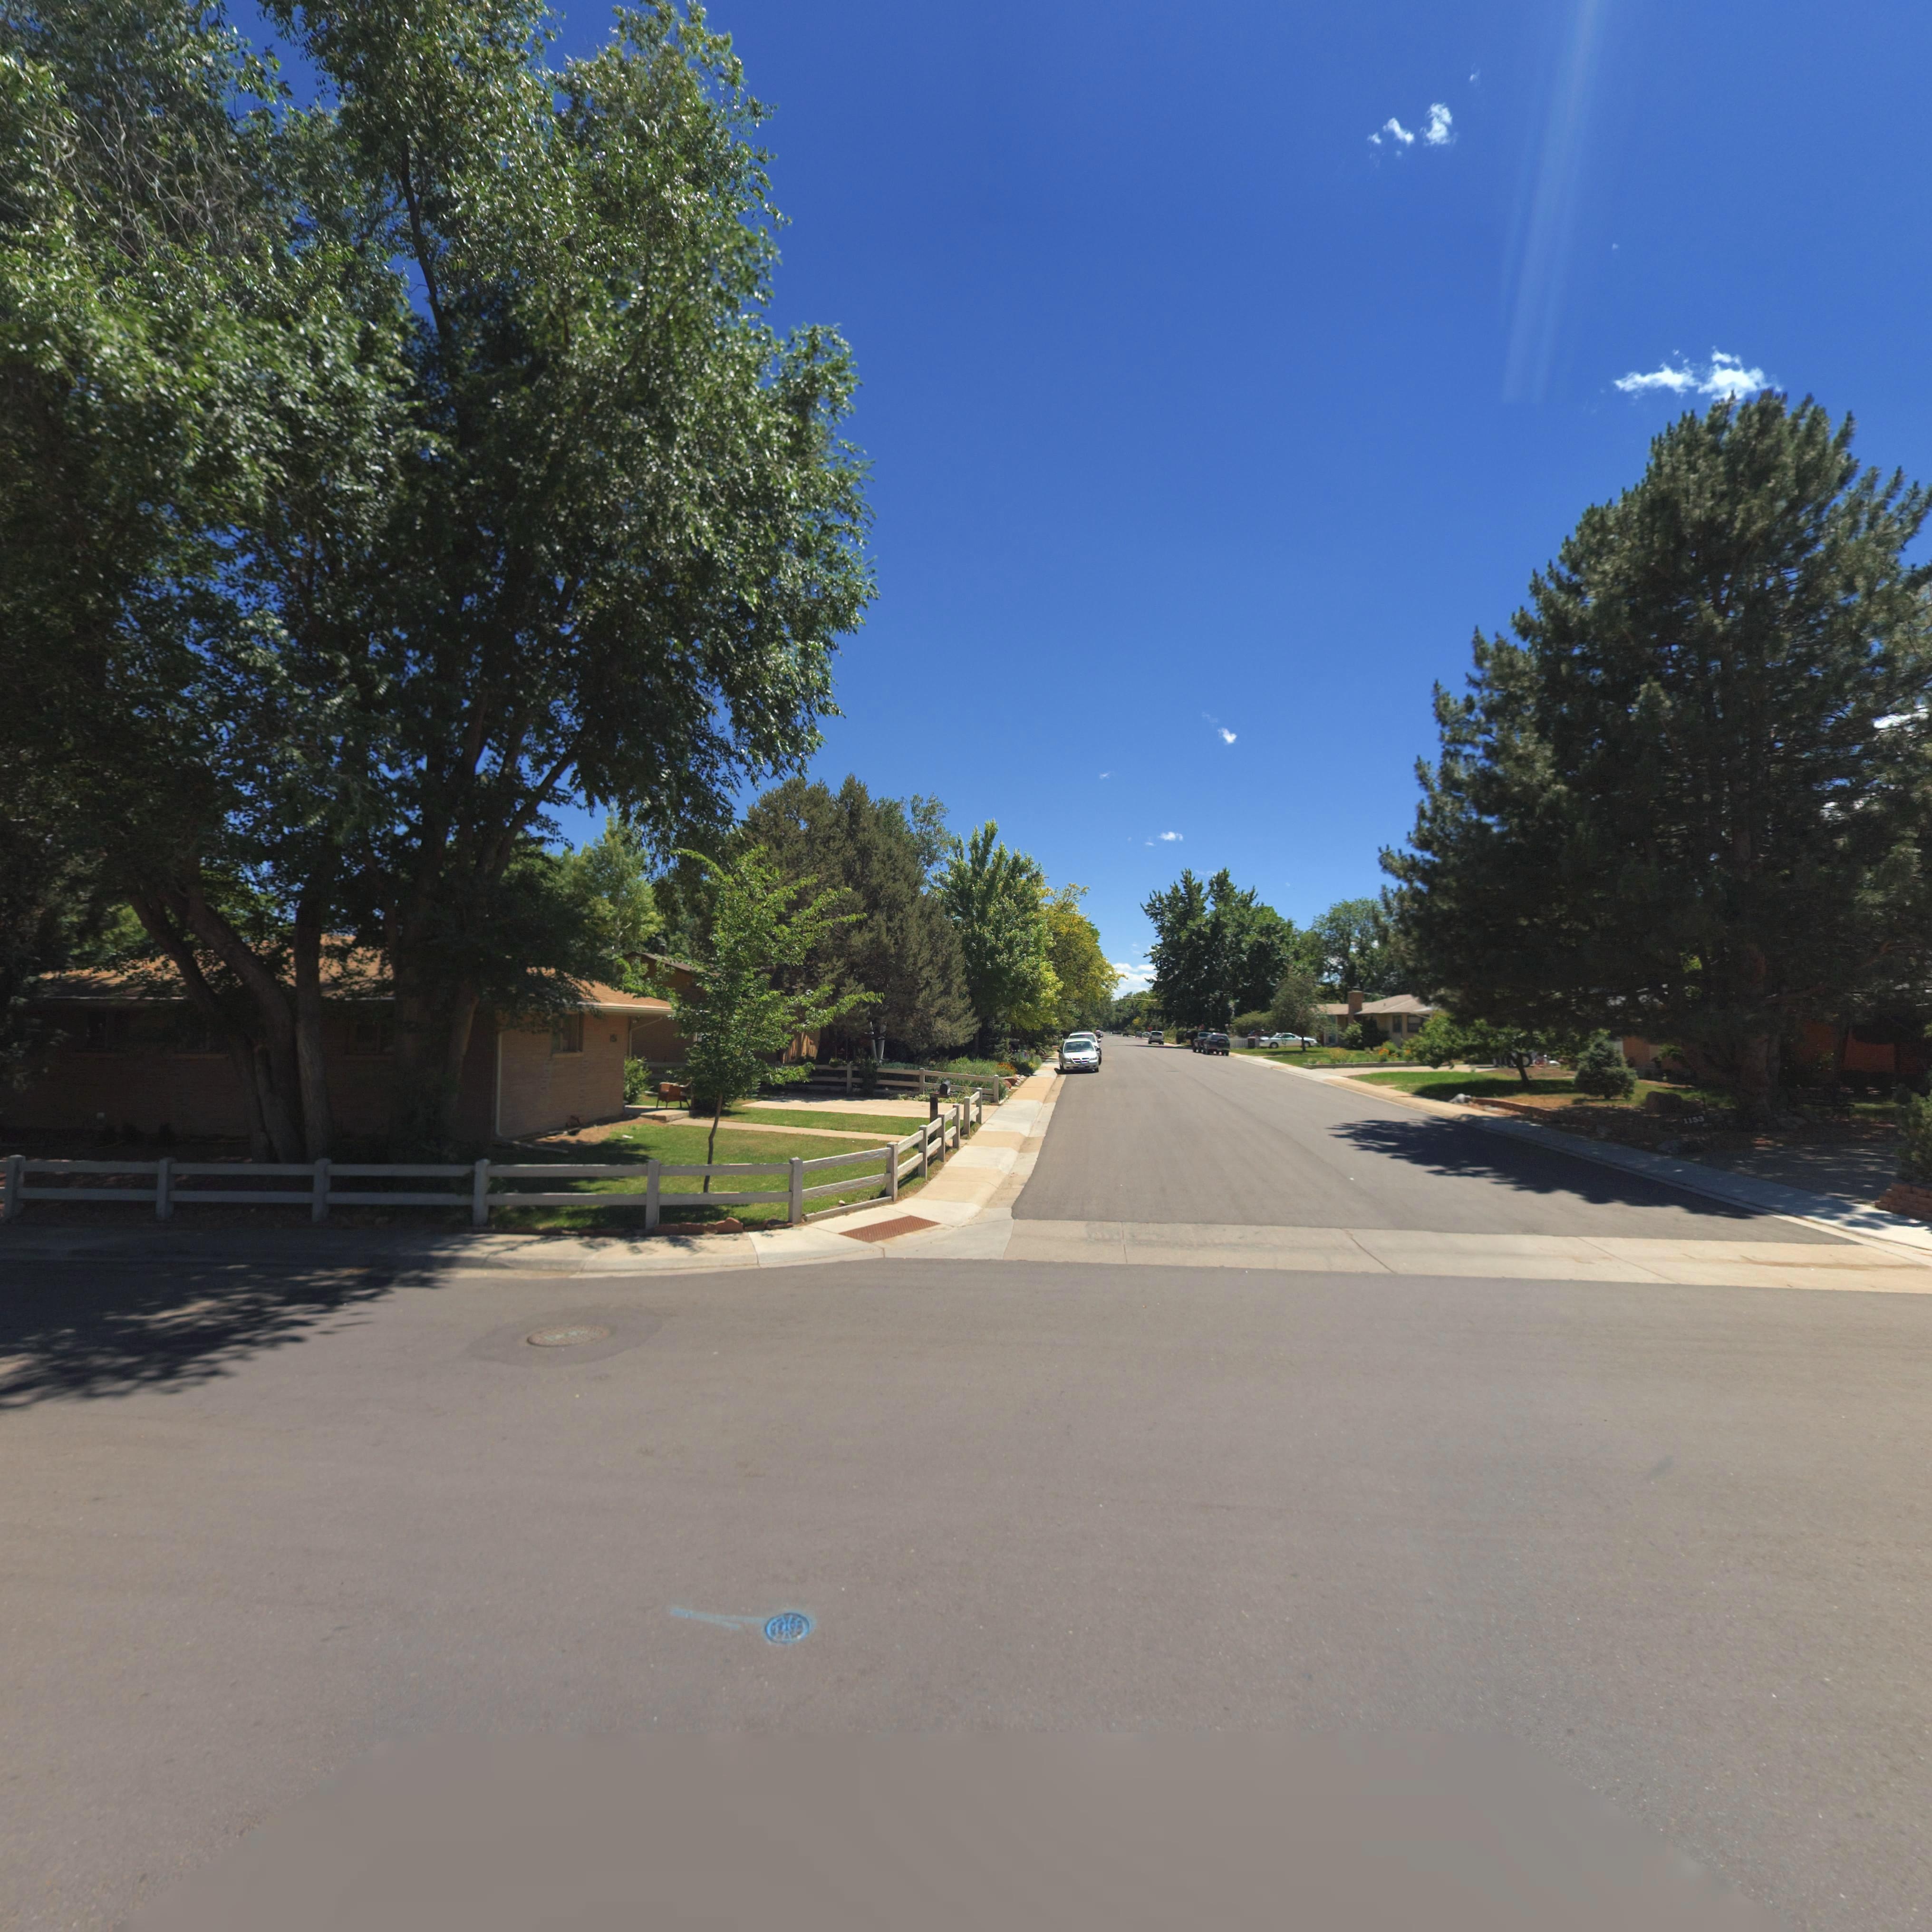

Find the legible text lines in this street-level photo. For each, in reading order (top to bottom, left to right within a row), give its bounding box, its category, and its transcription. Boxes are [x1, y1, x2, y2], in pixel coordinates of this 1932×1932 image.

[1682, 1115, 1705, 1124] StreetNumber: 1153